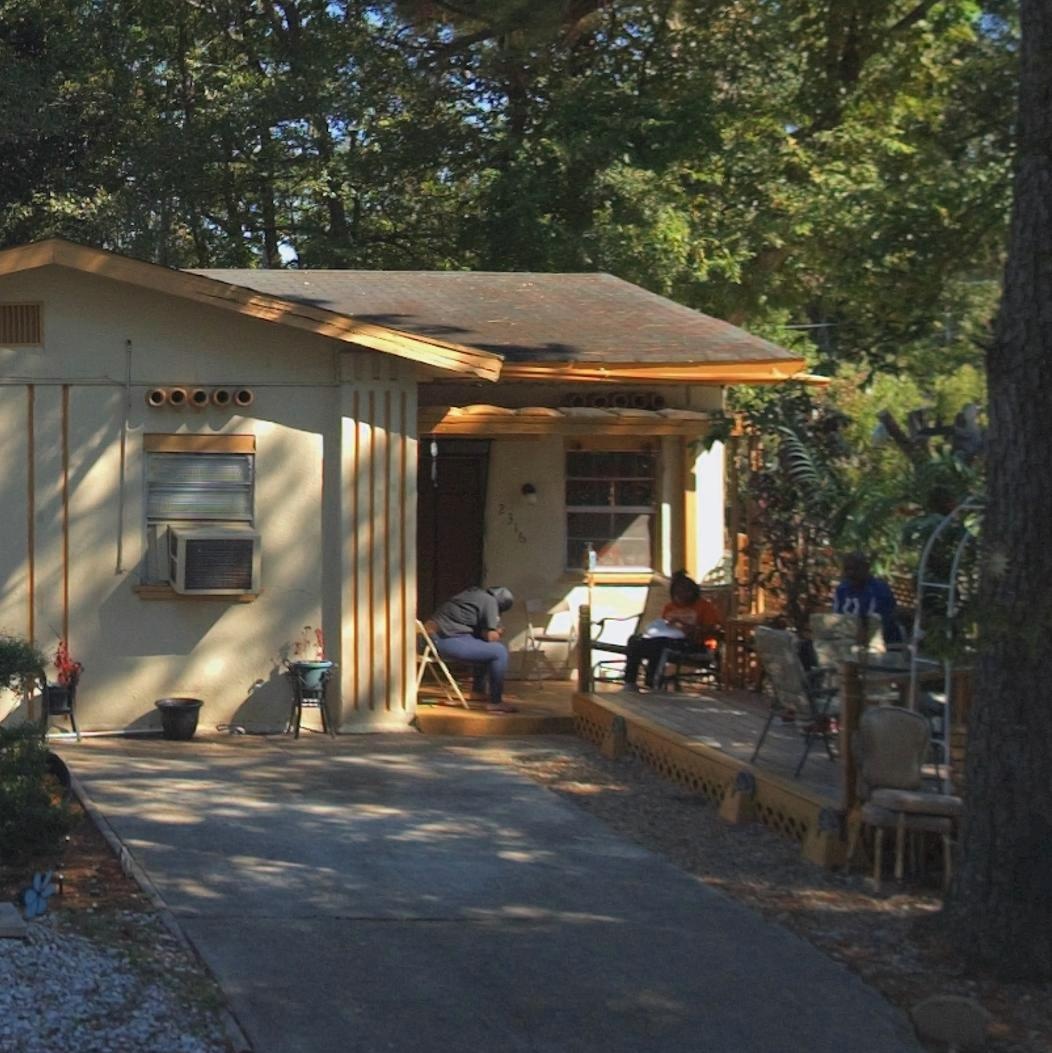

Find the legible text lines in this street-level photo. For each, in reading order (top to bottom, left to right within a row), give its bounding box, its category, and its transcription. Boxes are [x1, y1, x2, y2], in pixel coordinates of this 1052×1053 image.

[494, 497, 531, 548] StreetNumber: 2316